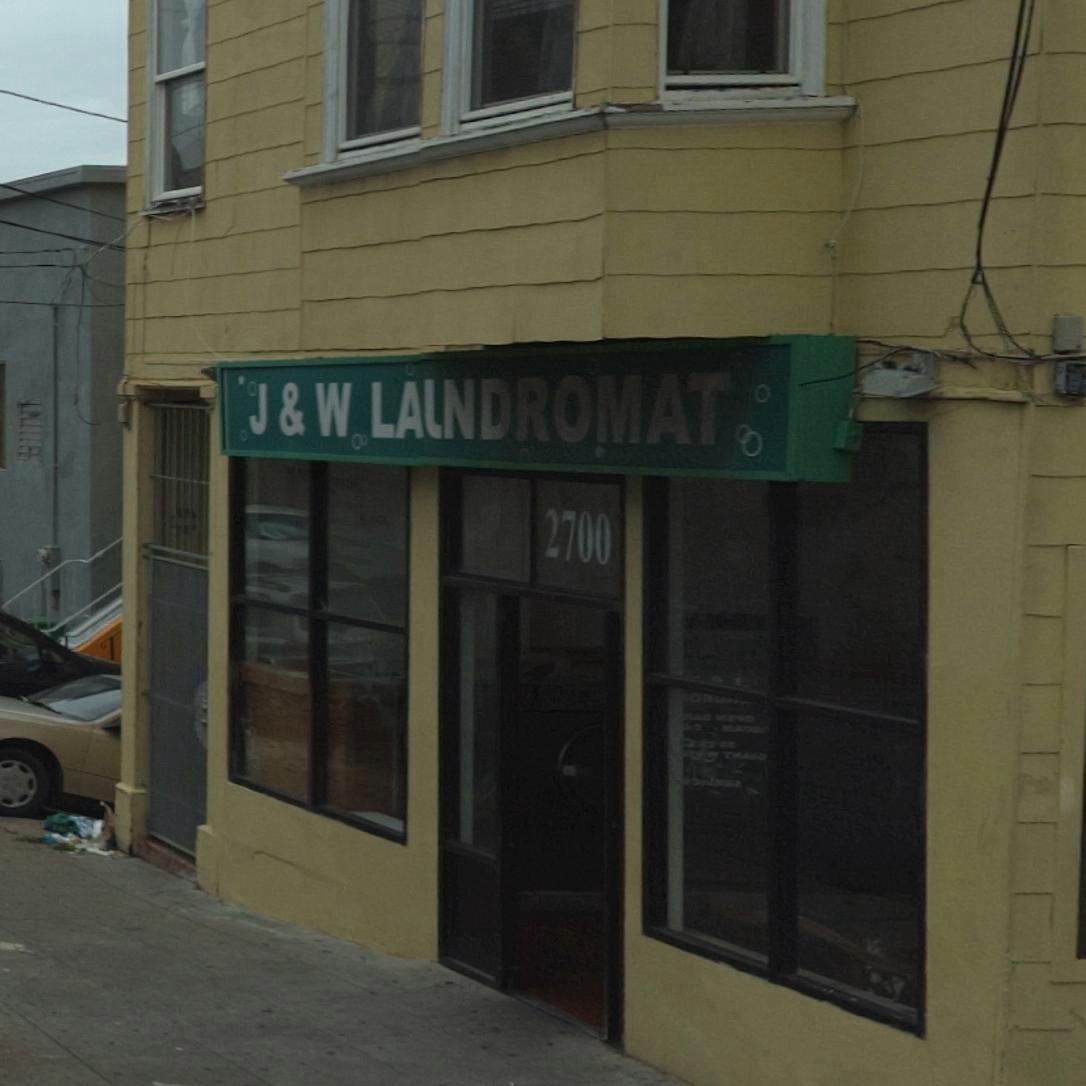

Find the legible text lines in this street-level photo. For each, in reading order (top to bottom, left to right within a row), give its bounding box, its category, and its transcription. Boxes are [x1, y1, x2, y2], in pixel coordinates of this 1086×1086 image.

[246, 369, 738, 447] BusinessName: J & W LA*NDROMAT
[543, 505, 613, 569] StreetNumber: 2700